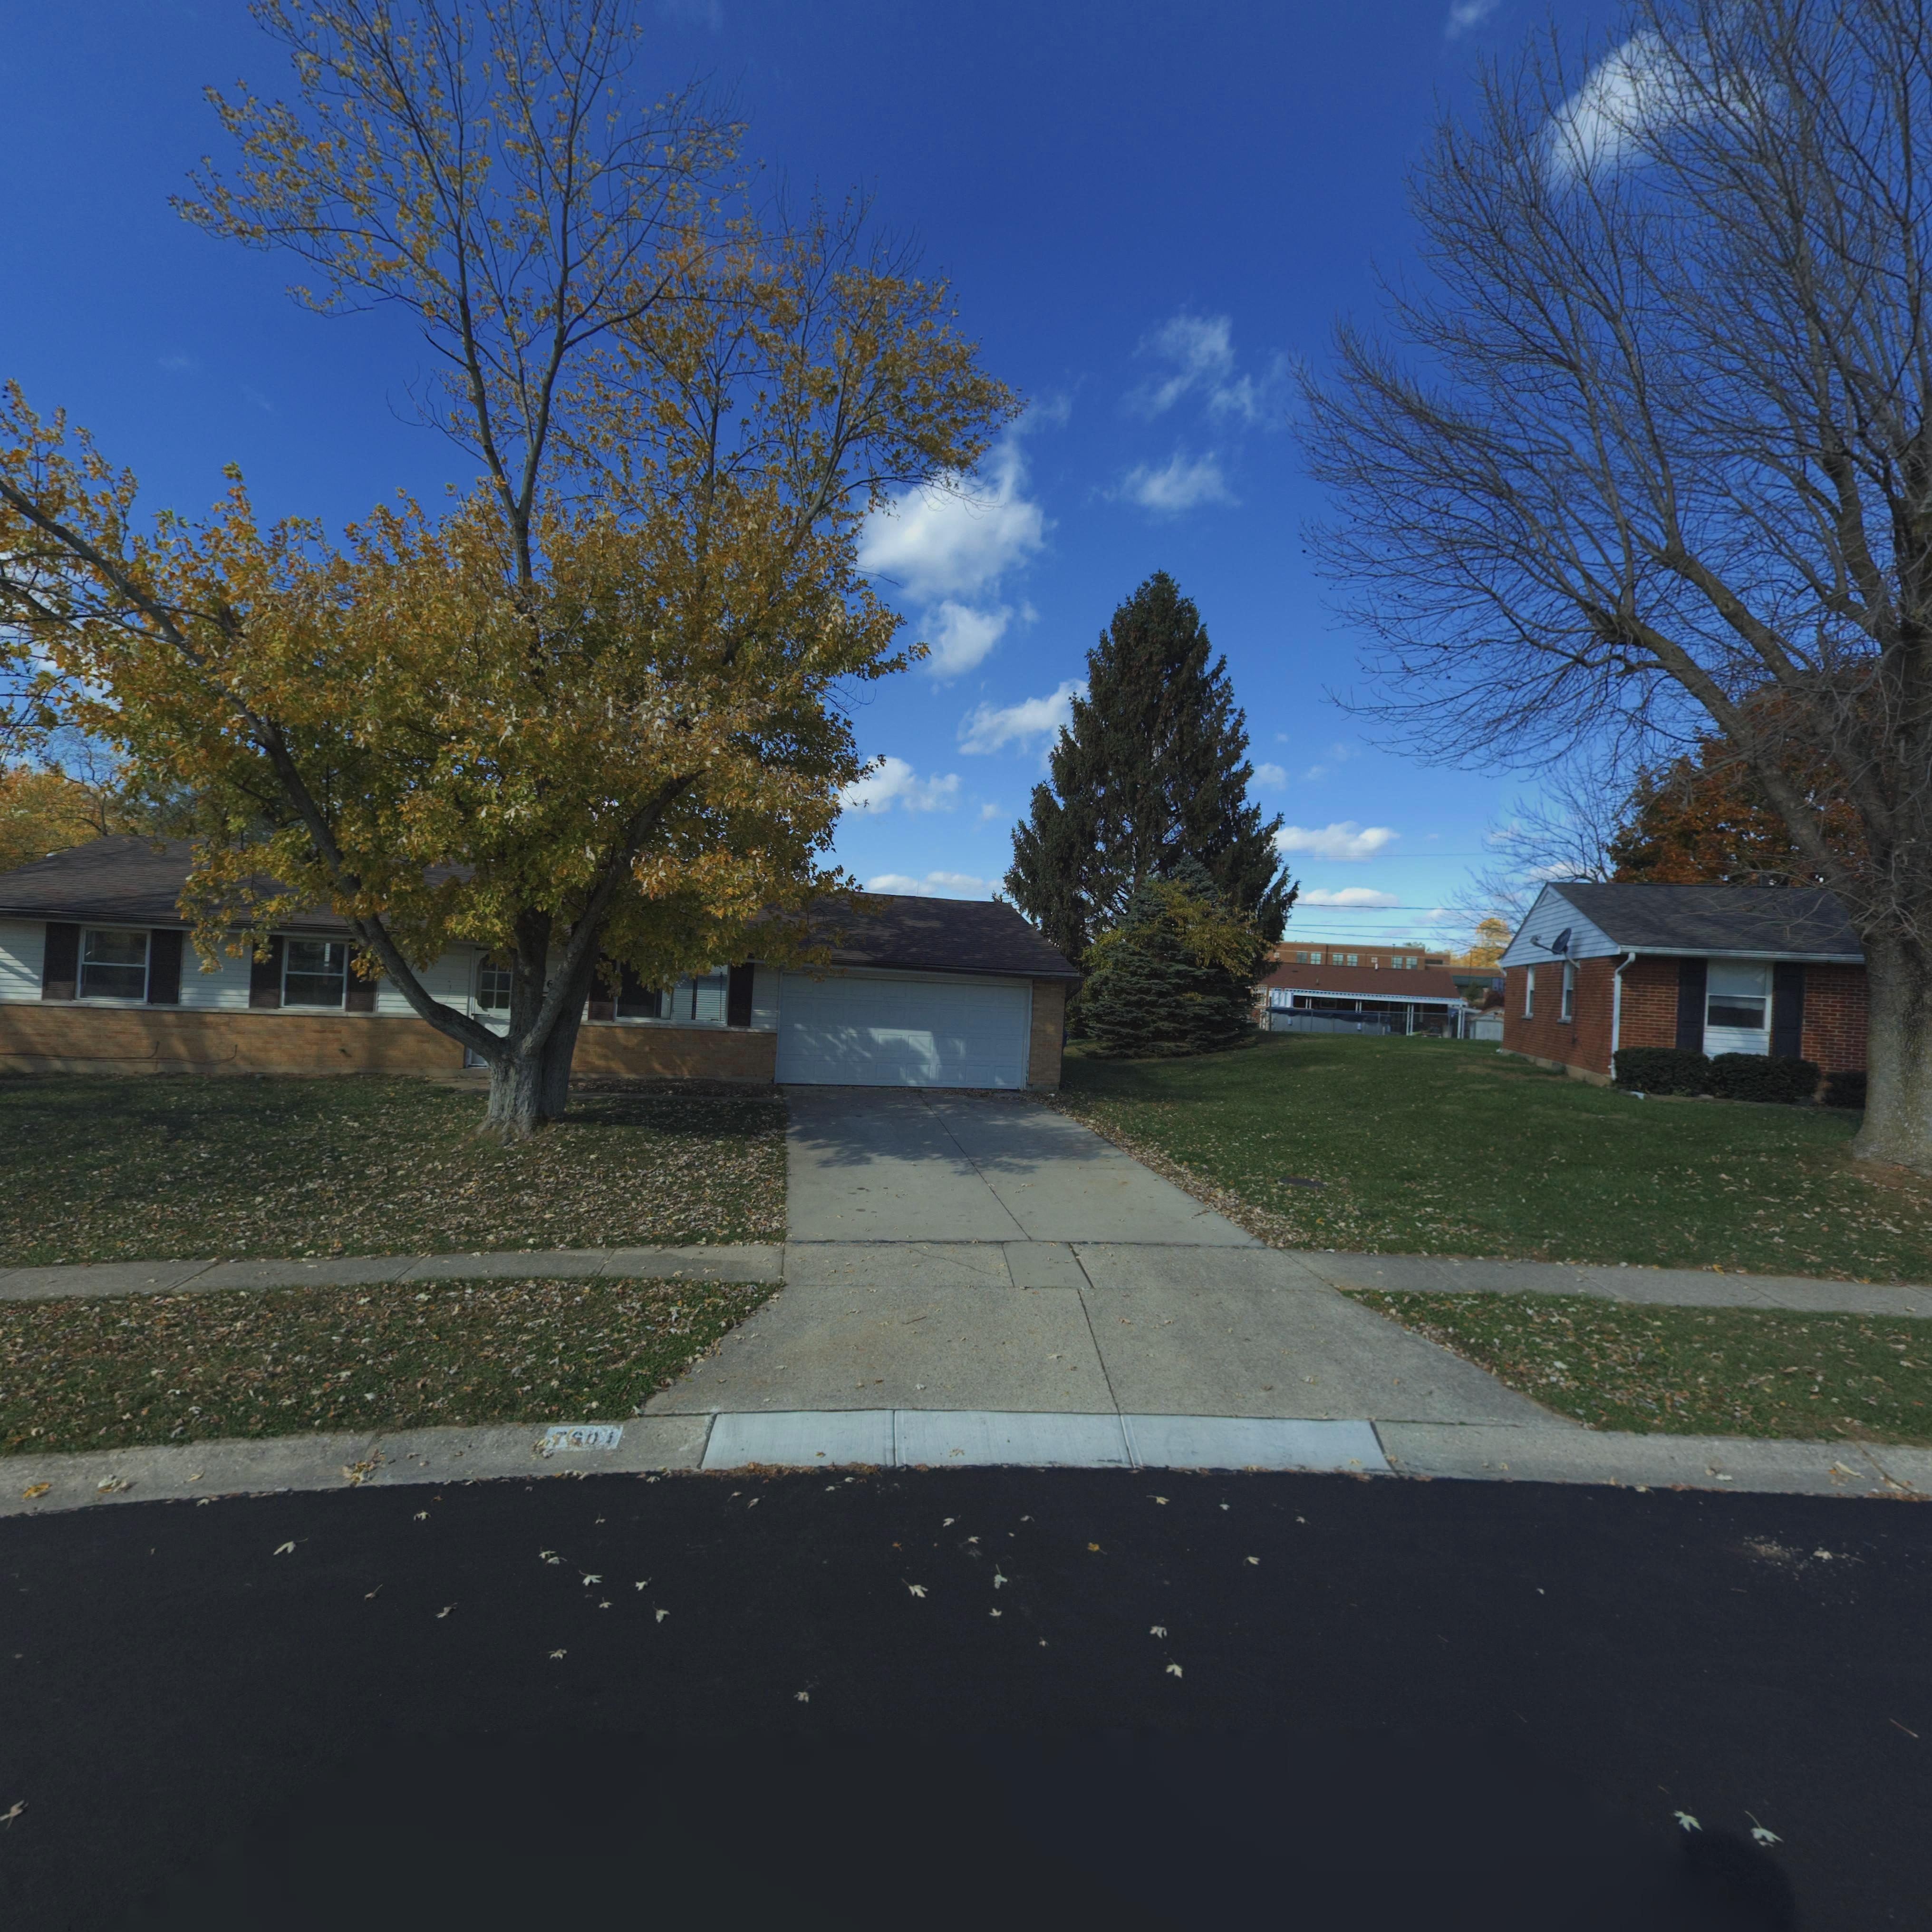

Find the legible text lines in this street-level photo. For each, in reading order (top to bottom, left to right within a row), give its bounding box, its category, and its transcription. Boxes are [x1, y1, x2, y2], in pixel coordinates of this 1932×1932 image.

[547, 979, 553, 989] StreetNumber: 6
[551, 1431, 615, 1447] StreetNumber: 7601